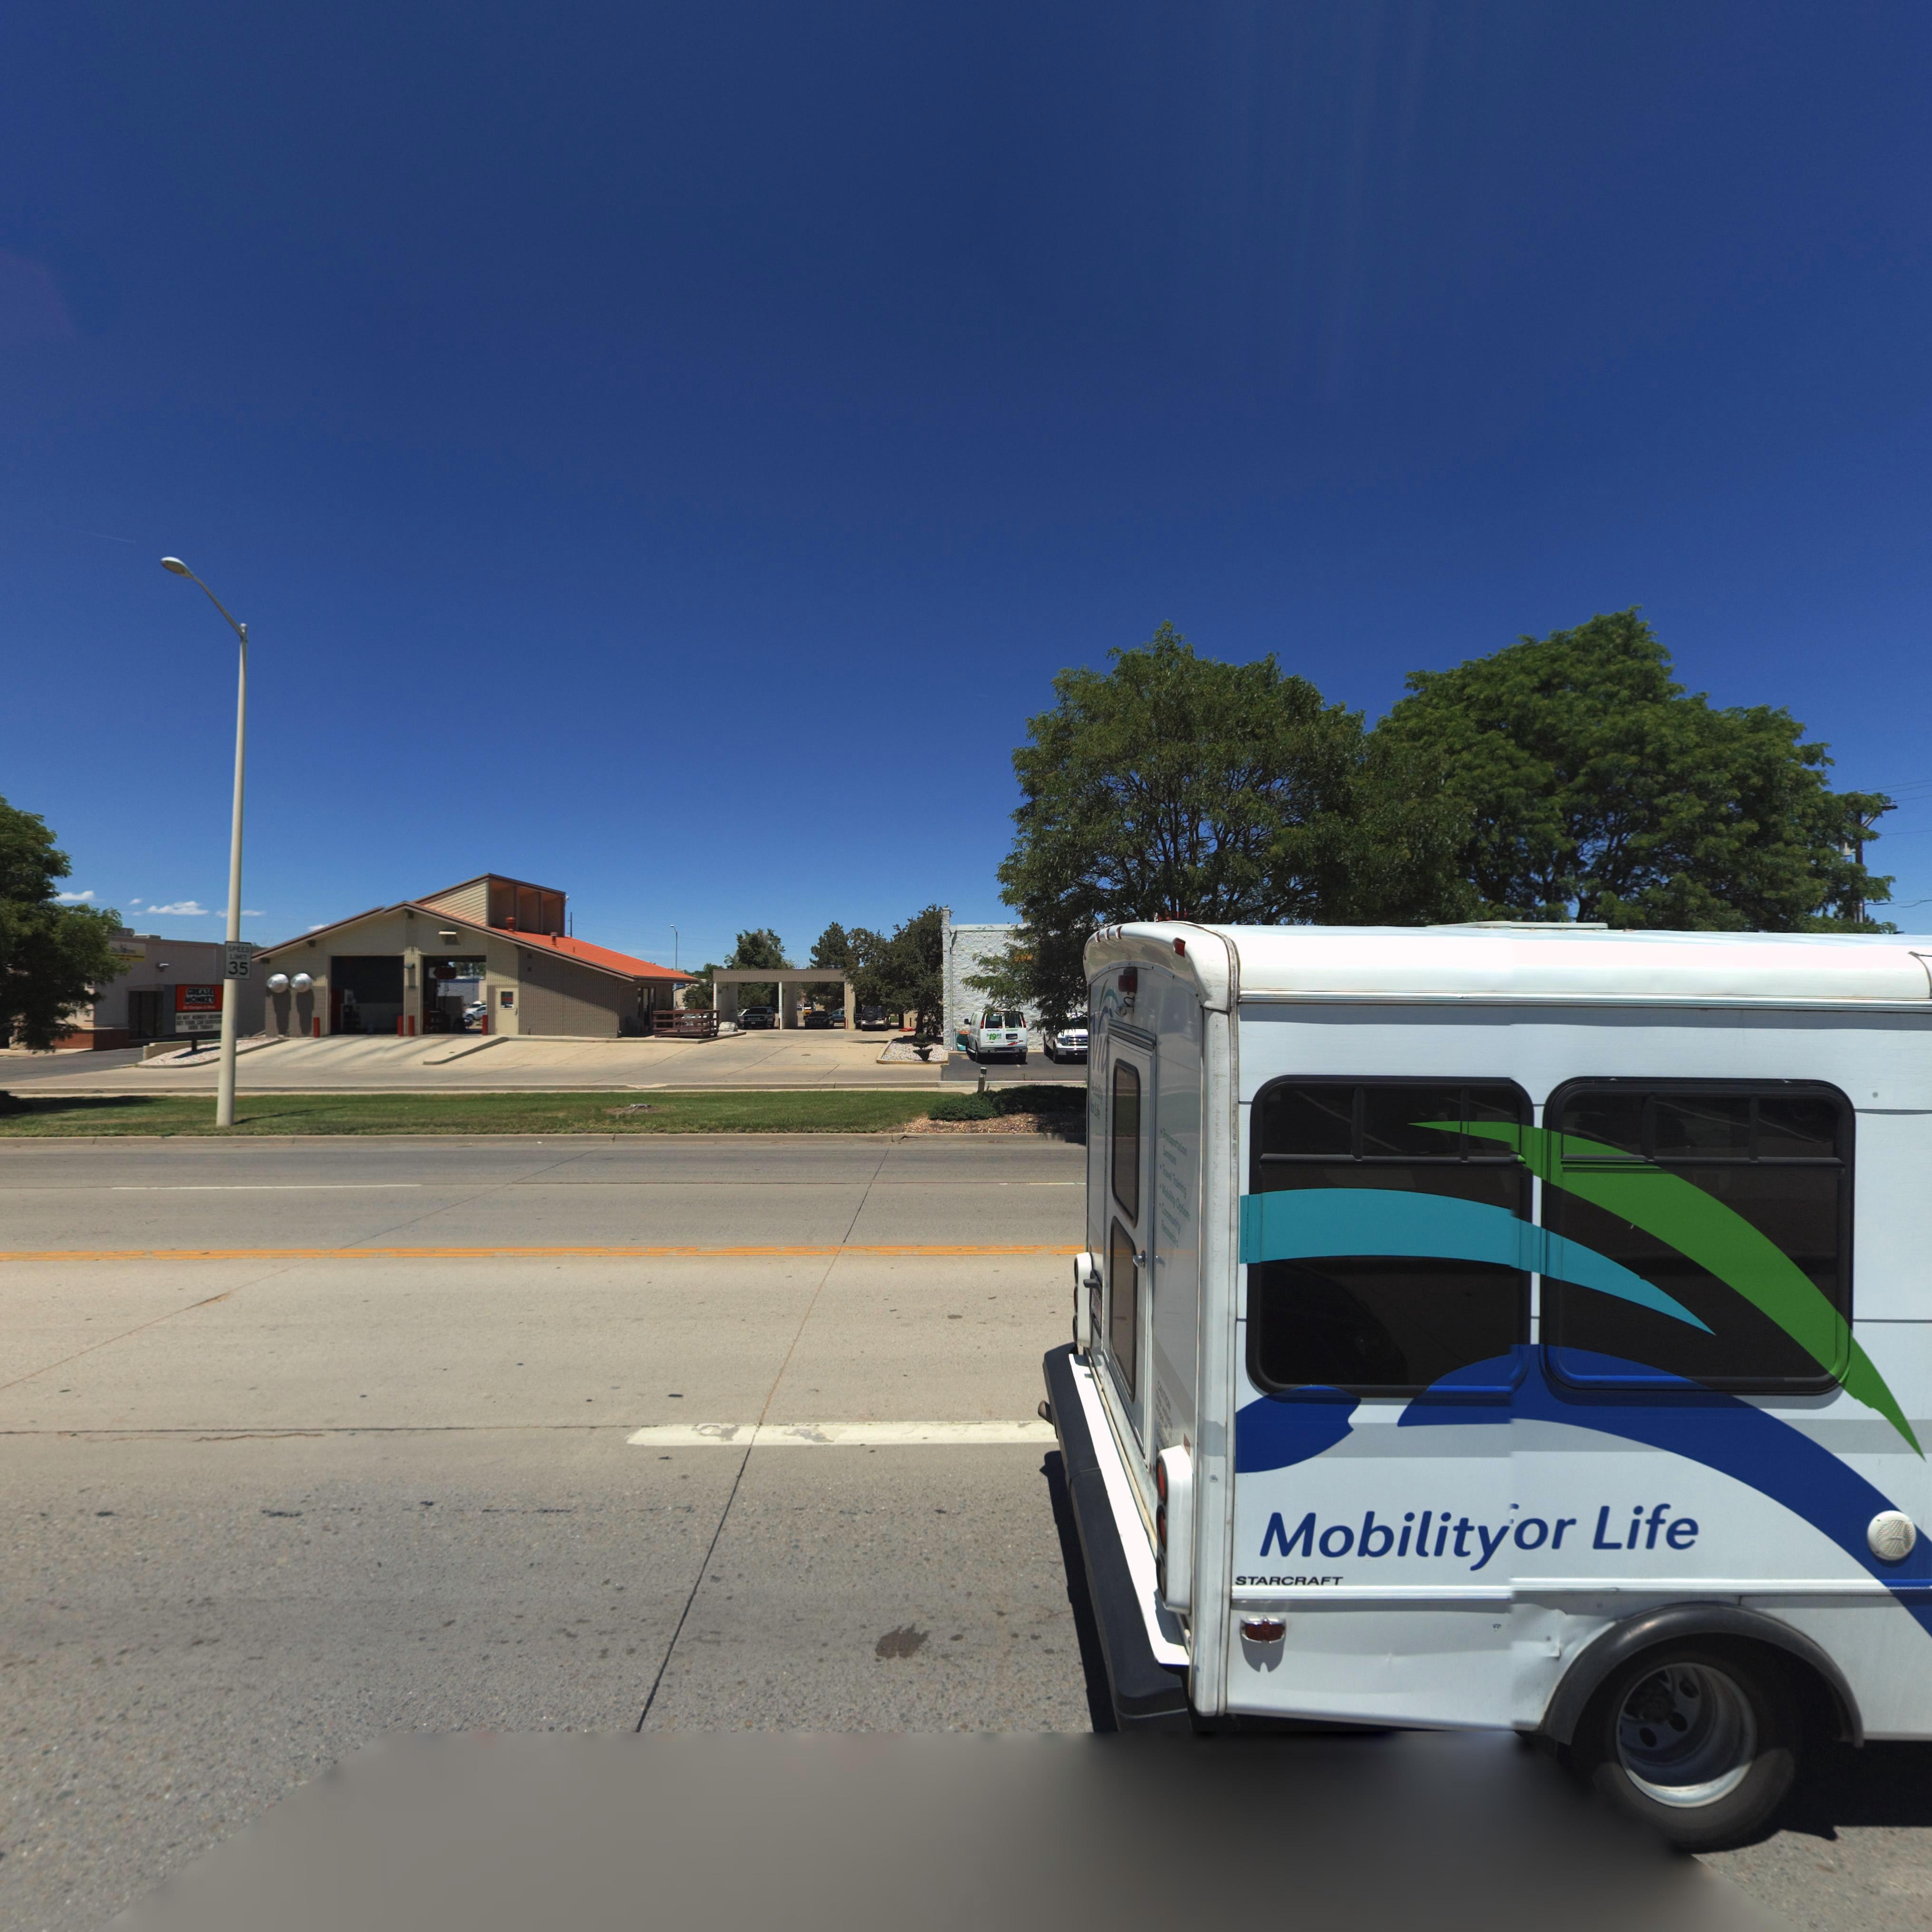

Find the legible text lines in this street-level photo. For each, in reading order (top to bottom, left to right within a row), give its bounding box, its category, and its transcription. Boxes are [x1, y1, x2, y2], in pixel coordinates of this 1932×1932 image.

[186, 986, 214, 995] BusinessName: GREASE
[184, 995, 215, 1004] BusinessName: MO*KEY